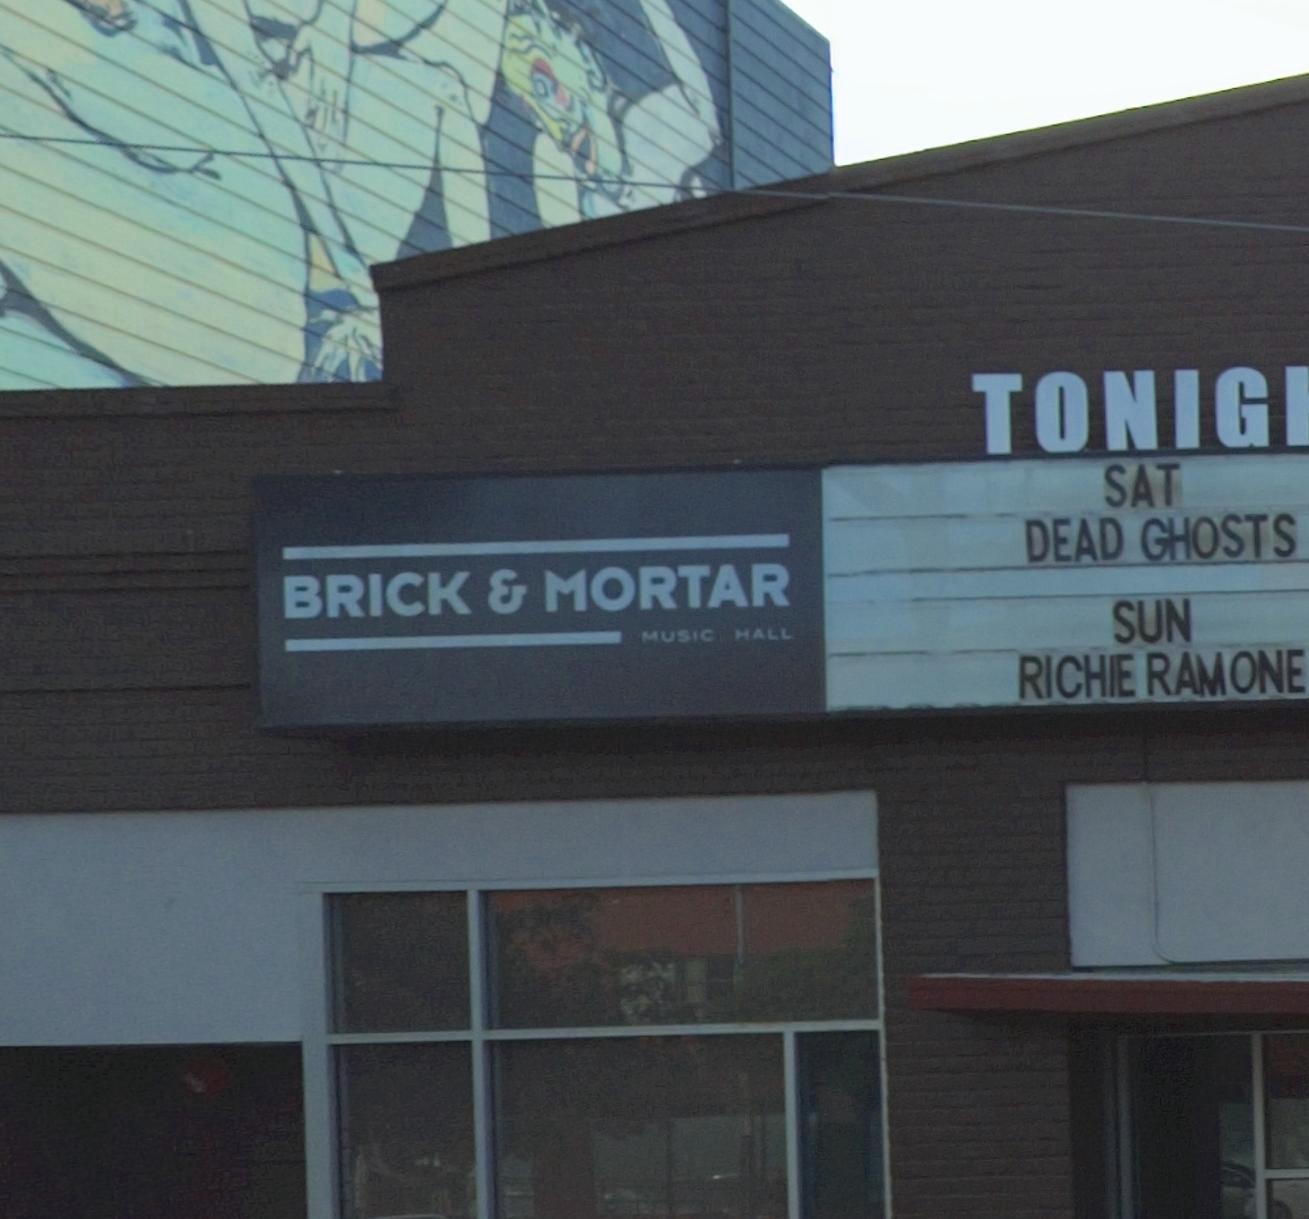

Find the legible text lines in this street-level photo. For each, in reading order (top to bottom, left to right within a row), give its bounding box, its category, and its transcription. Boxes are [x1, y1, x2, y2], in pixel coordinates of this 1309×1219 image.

[964, 359, 1283, 462] None: TONIG
[1098, 456, 1186, 513] None: SAT
[1019, 506, 1304, 570] None: DEAD GHOSTS
[278, 557, 795, 625] BusinessName: BRICK & MORTAR
[636, 623, 796, 647] BusinessName: MUSIC HALL
[1107, 592, 1198, 649] None: SUN
[1014, 644, 1308, 704] None: RICHIE RAMONE